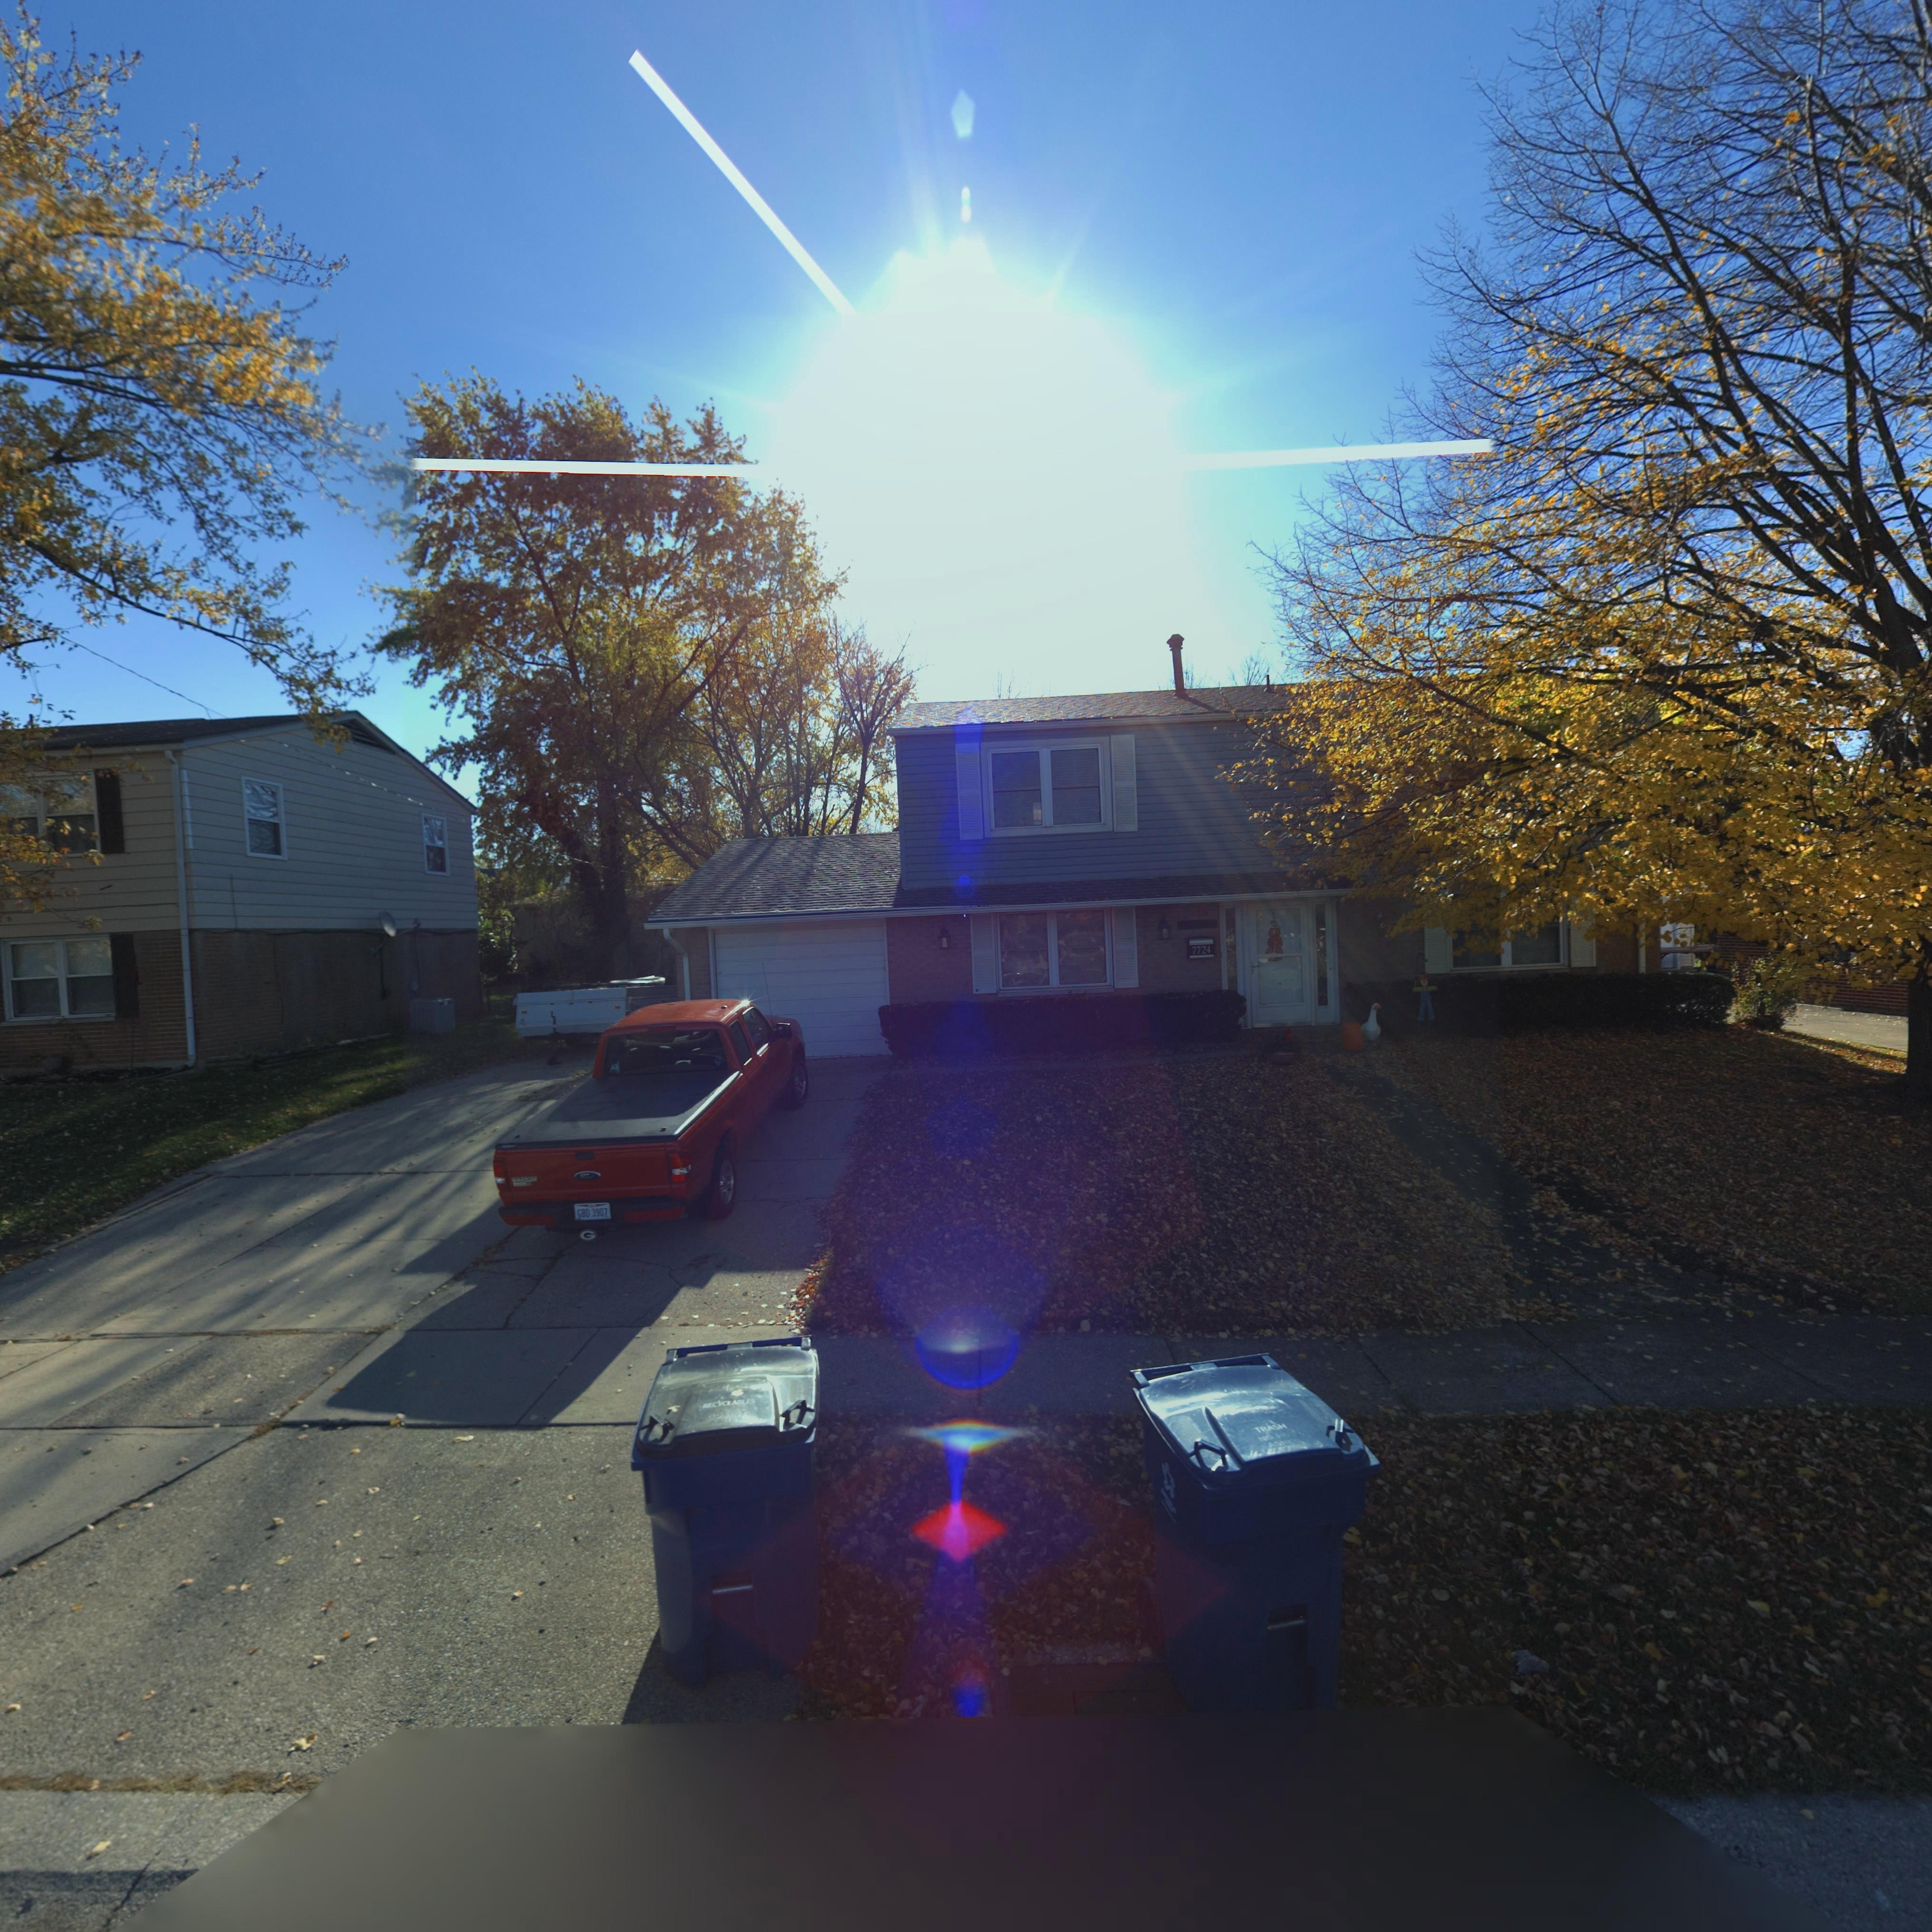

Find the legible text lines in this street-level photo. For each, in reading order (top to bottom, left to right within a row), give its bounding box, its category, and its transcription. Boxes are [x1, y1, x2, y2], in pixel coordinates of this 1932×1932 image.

[1191, 945, 1212, 956] StreetNumber: 7724